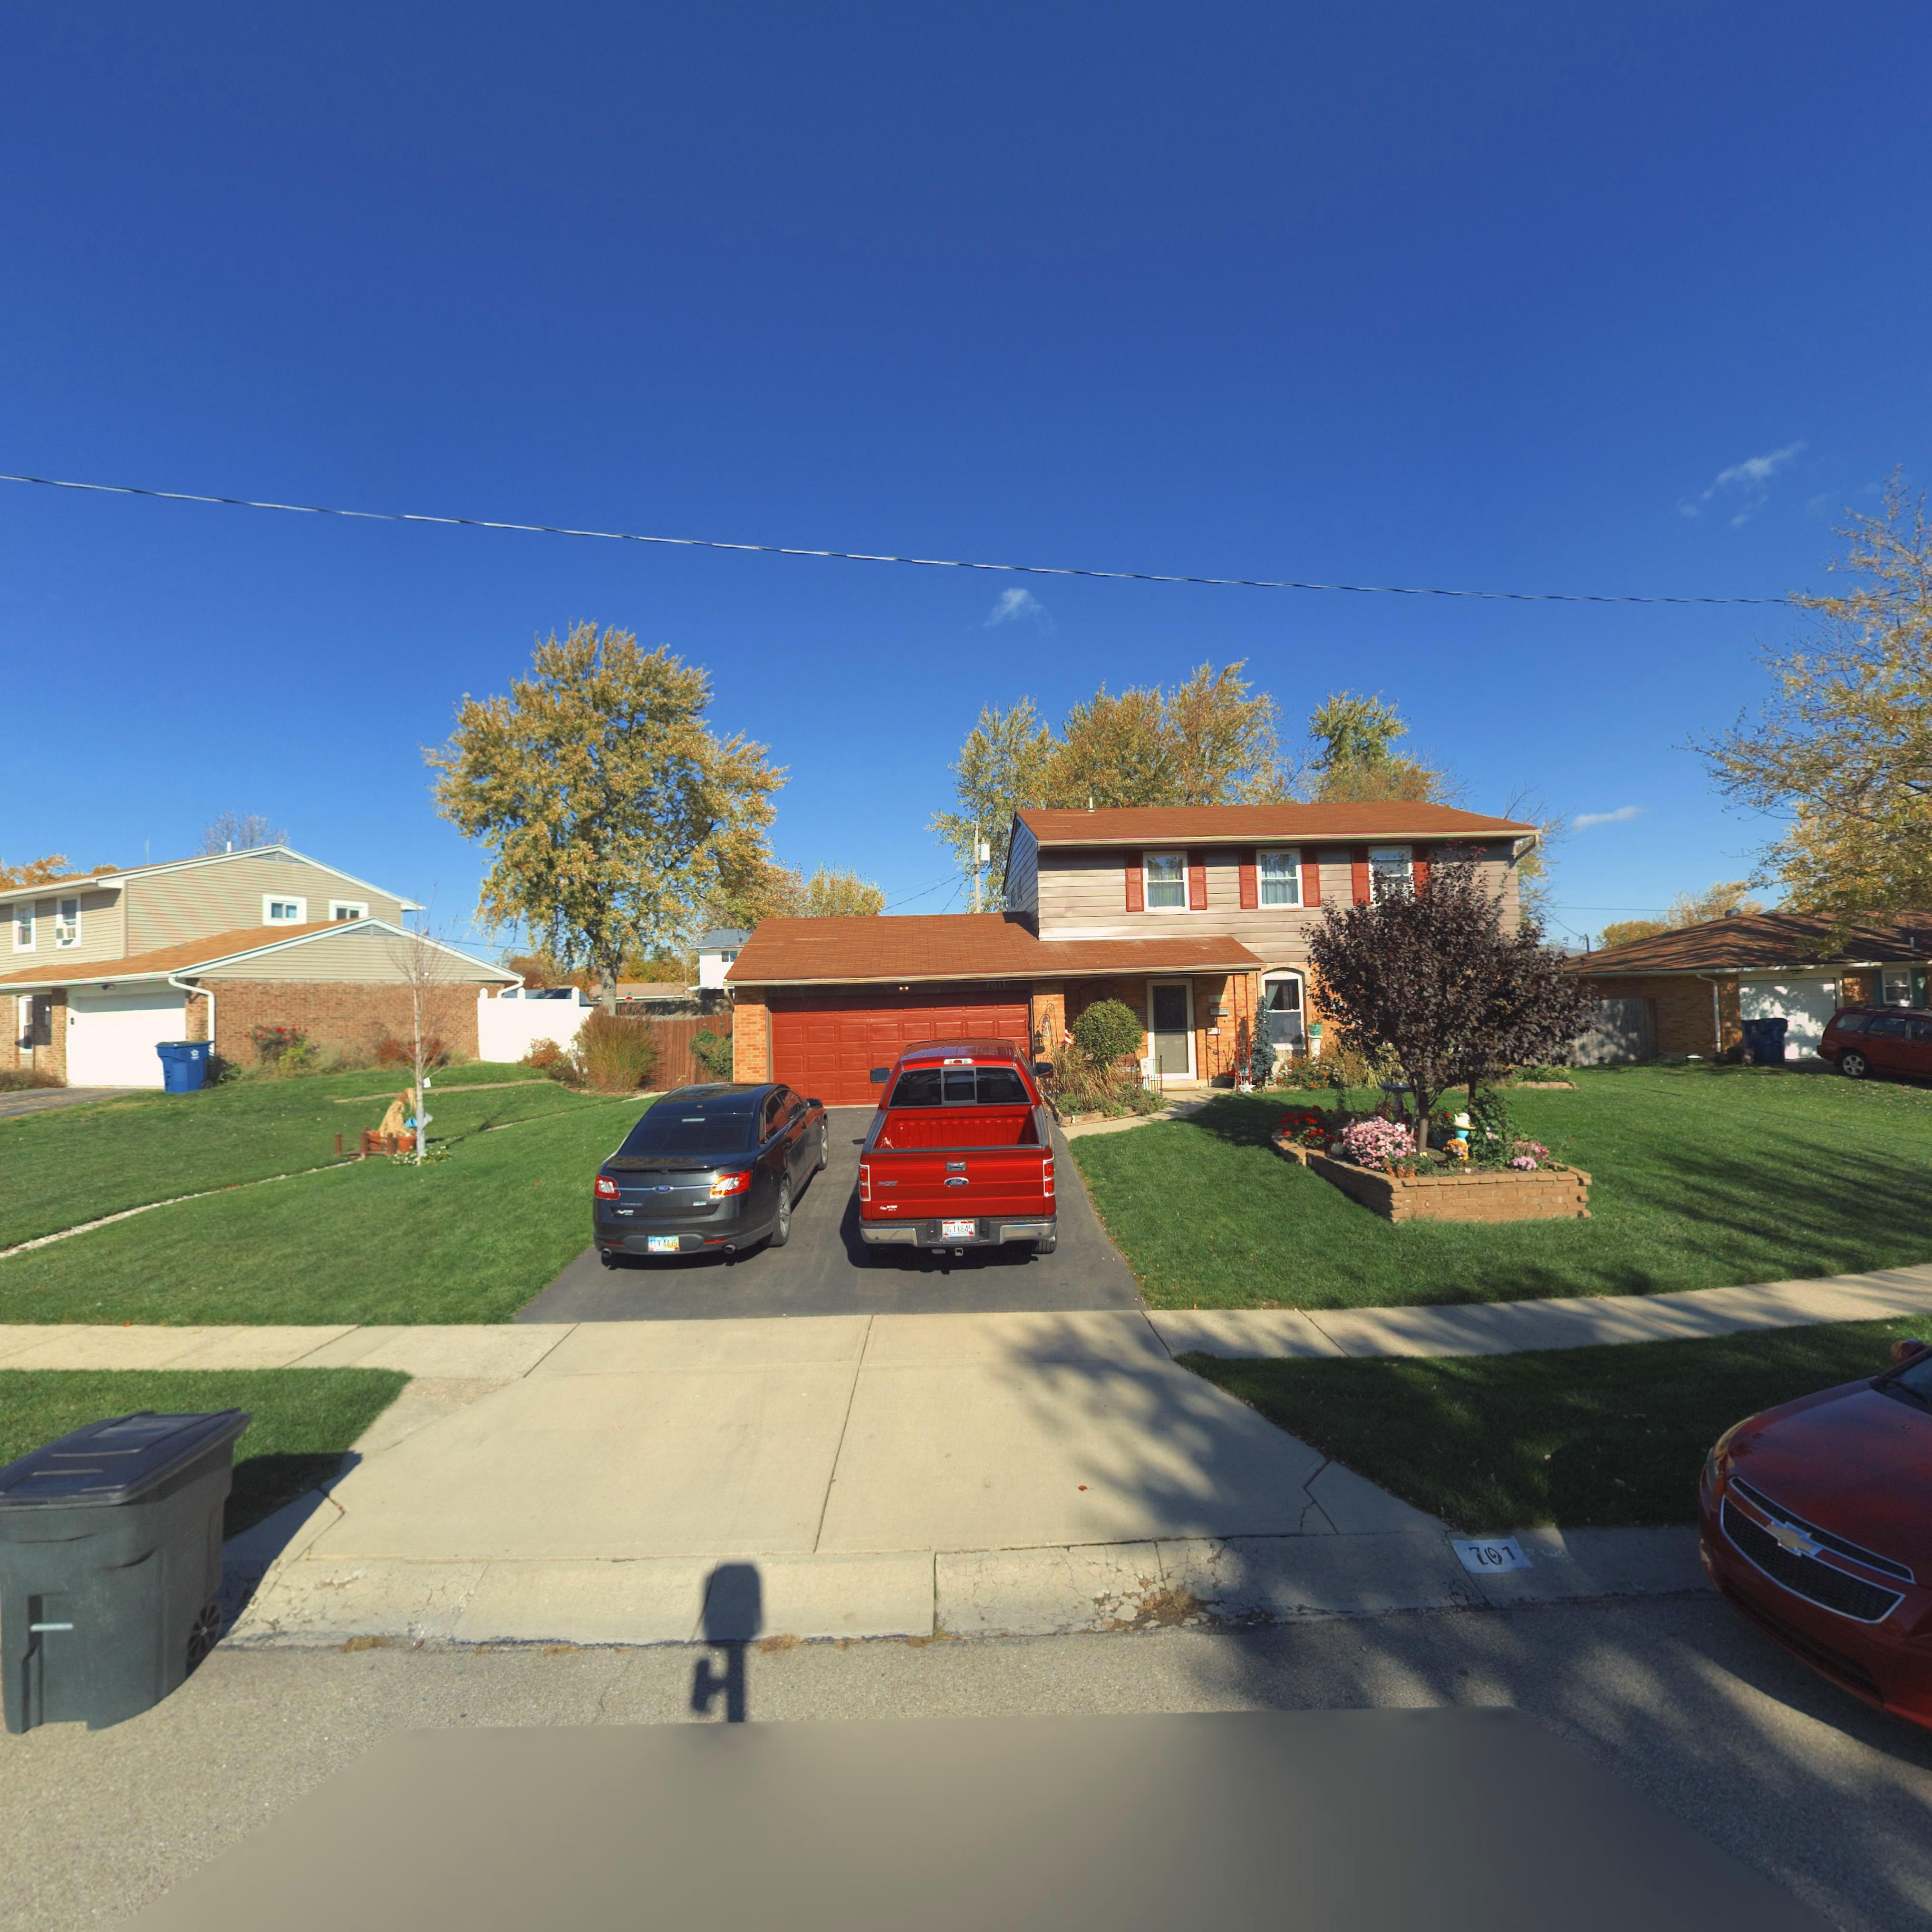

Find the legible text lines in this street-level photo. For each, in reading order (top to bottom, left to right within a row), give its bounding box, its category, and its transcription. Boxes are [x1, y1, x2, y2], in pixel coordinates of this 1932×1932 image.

[1780, 974, 1795, 978] StreetNumber: 7021
[984, 981, 1006, 989] StreetNumber: 7011
[1467, 1546, 1518, 1566] StreetNumber: 70*1